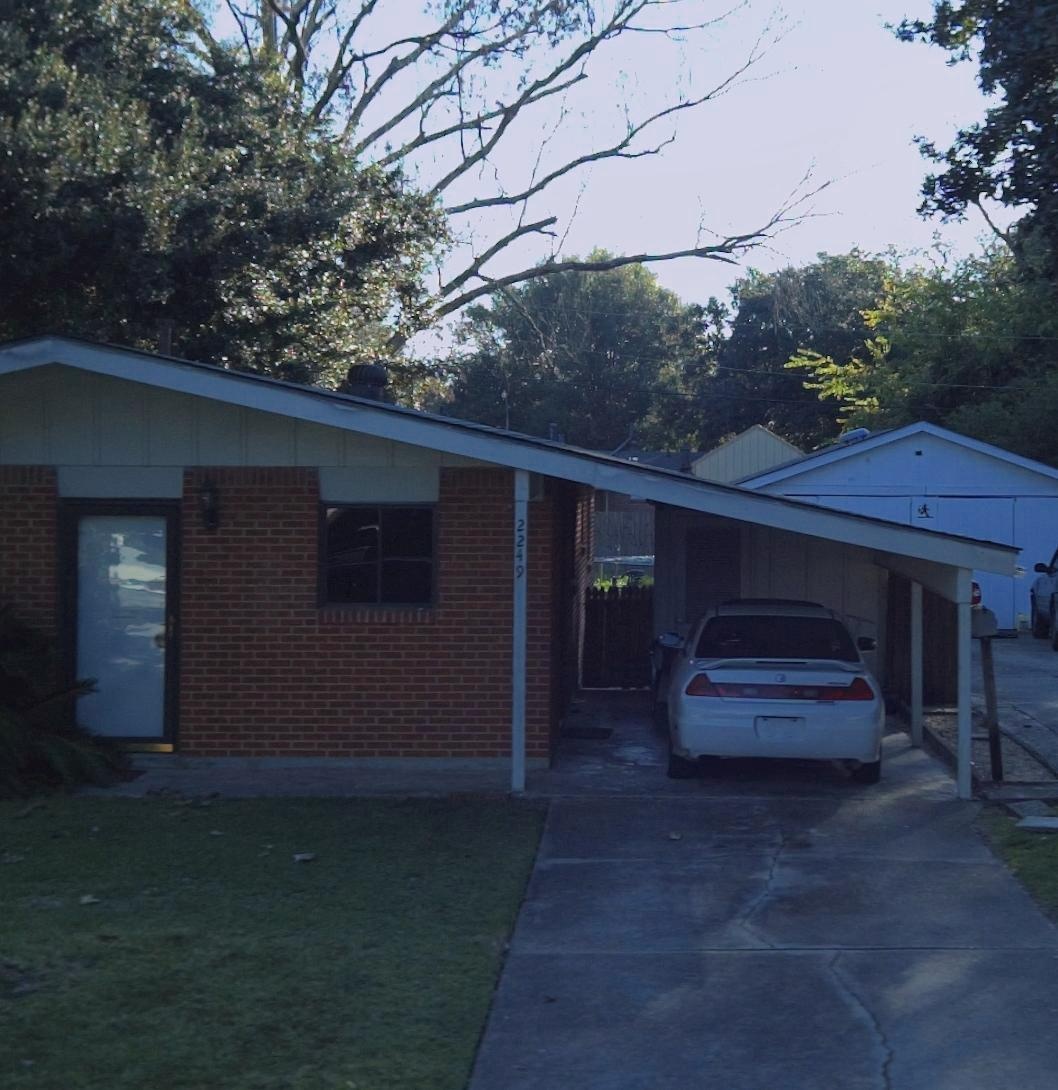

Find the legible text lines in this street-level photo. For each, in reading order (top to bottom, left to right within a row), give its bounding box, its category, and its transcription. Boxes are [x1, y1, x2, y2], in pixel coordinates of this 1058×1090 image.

[513, 517, 526, 580] StreetNumber: 2249